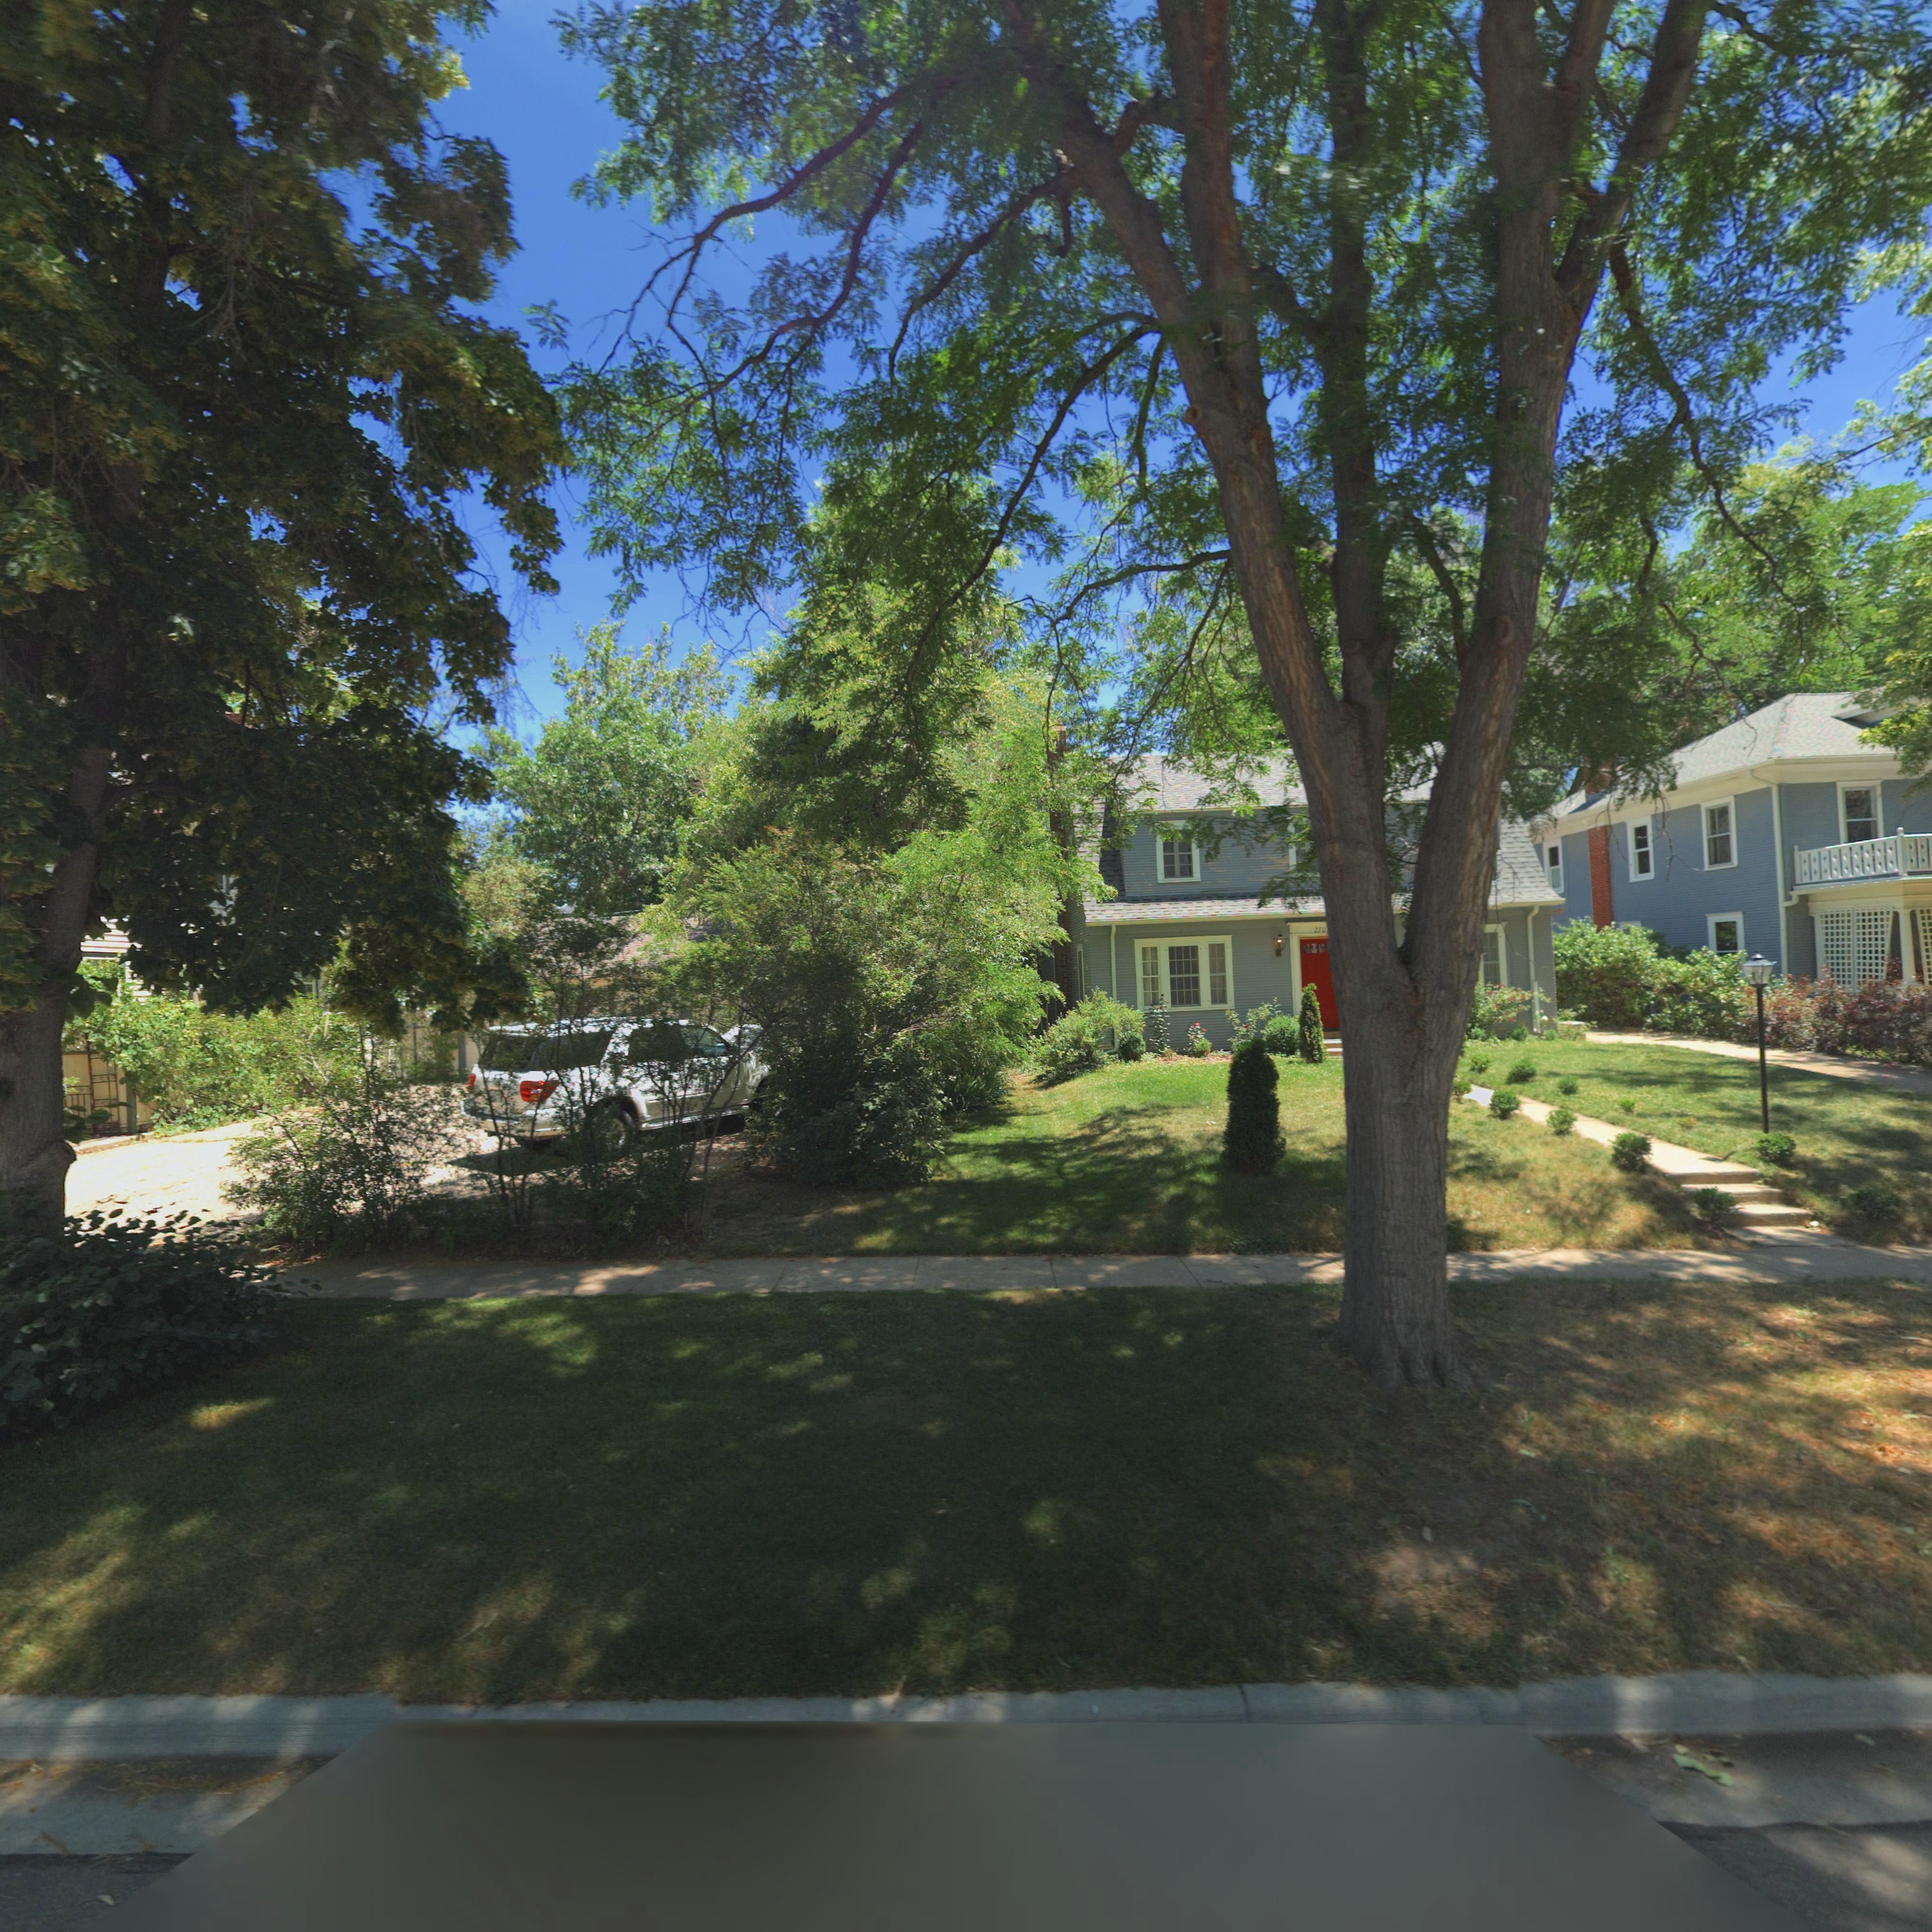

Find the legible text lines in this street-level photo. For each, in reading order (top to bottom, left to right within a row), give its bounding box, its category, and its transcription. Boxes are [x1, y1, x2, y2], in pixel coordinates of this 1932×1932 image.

[1314, 926, 1326, 933] StreetNumber: 270